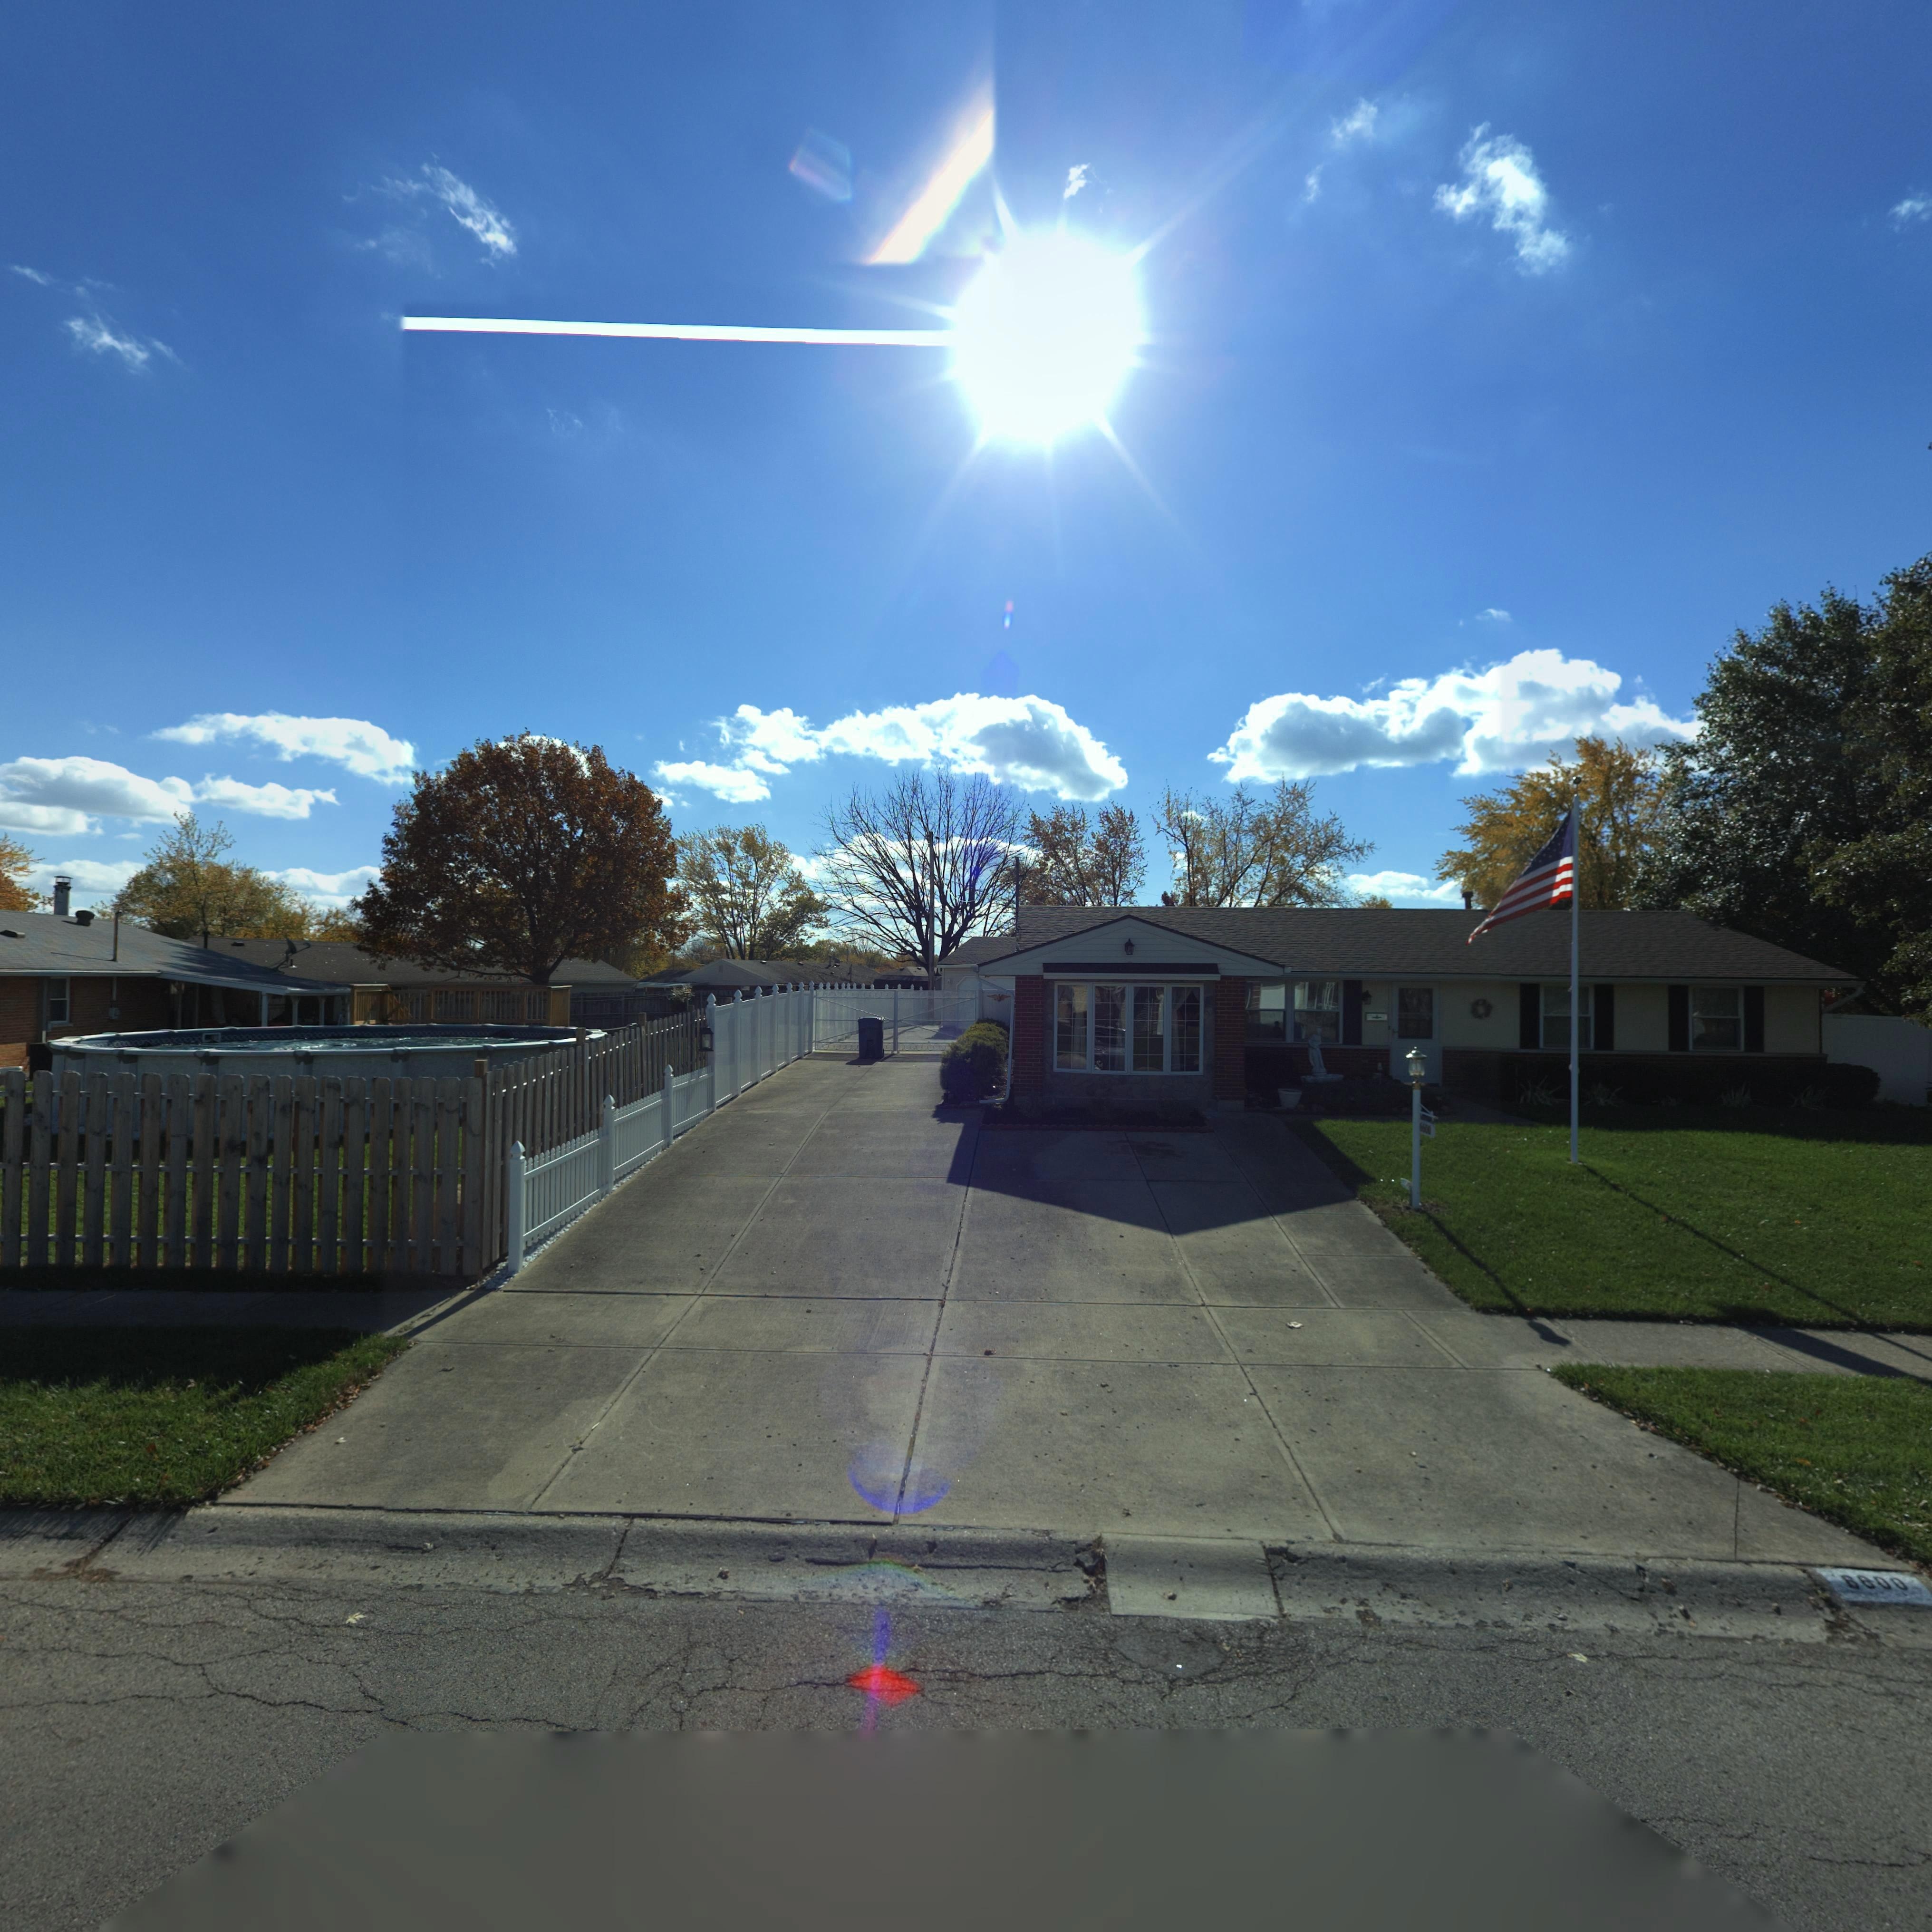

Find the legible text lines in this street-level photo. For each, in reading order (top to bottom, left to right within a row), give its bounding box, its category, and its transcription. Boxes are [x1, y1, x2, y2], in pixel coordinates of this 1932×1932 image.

[1419, 1121, 1432, 1136] StreetNumber: 6600
[1840, 1575, 1908, 1591] StreetNumber: 6600